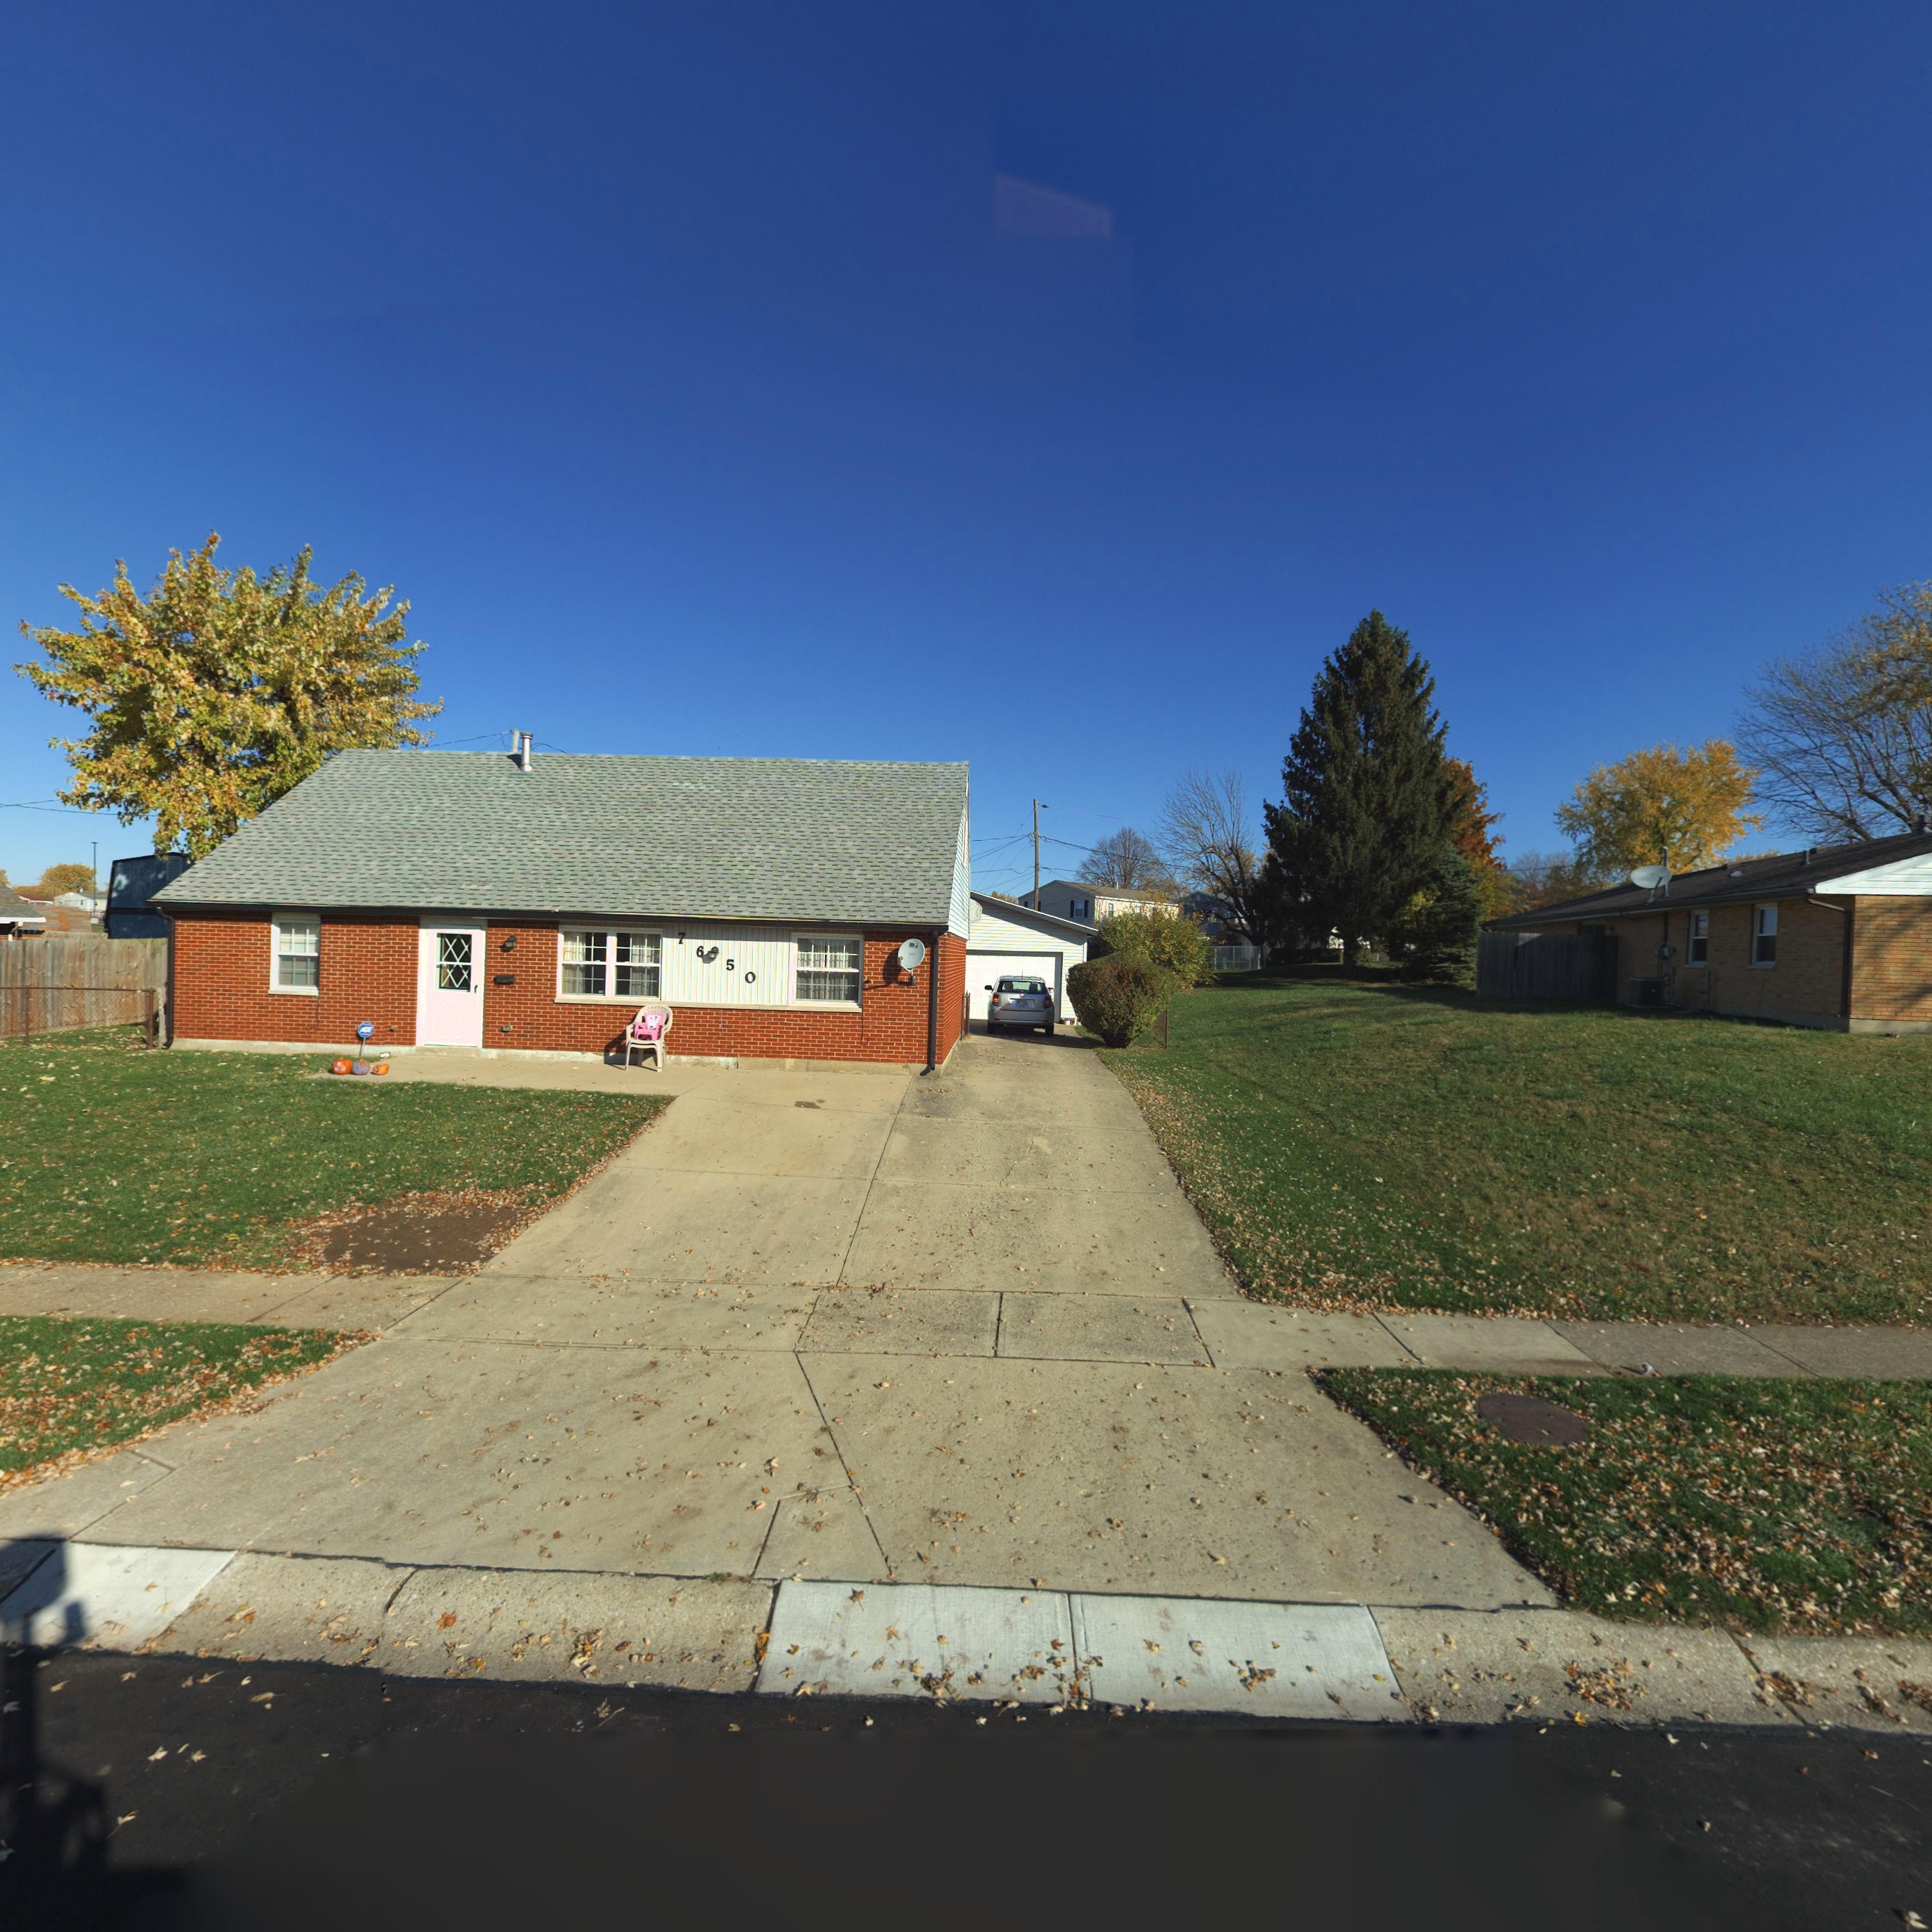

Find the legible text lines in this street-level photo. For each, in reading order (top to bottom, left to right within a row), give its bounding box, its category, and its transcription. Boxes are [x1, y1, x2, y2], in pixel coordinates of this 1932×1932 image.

[676, 931, 758, 985] StreetNumber: 76*50